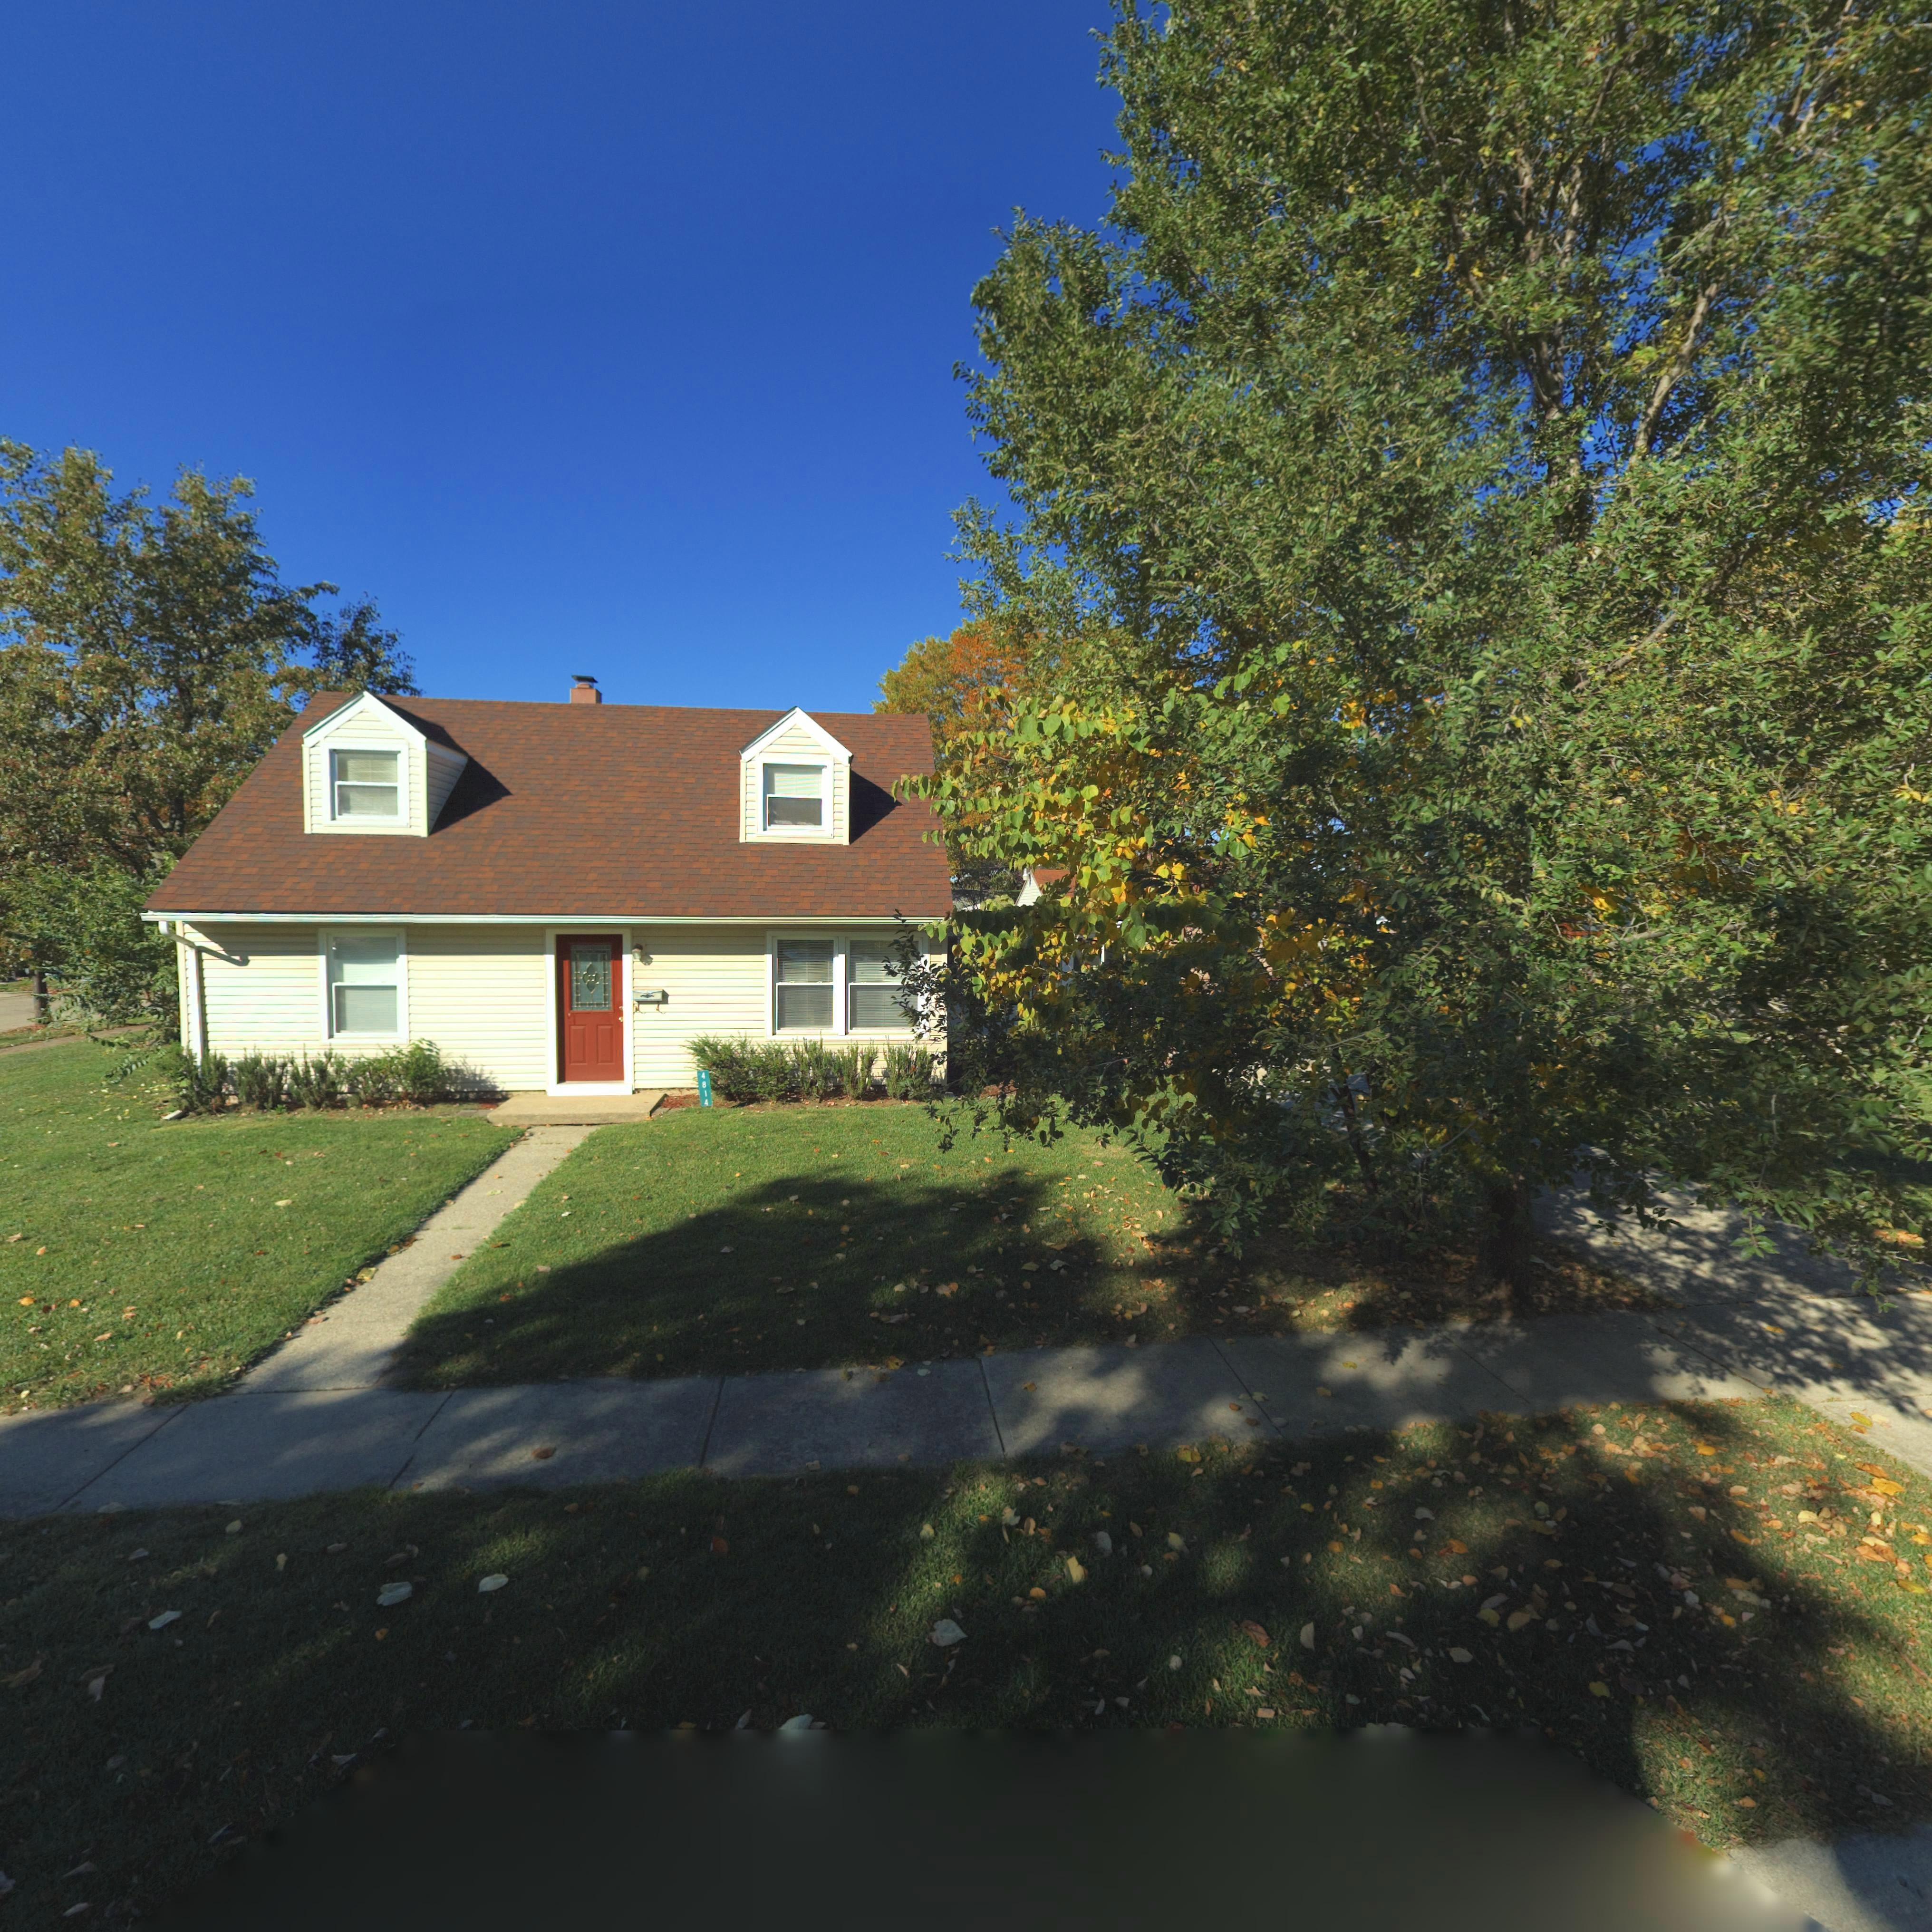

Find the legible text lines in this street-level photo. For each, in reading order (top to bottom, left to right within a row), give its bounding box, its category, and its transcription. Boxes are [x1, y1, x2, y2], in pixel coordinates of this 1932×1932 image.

[700, 1071, 709, 1107] StreetNumber: 4814